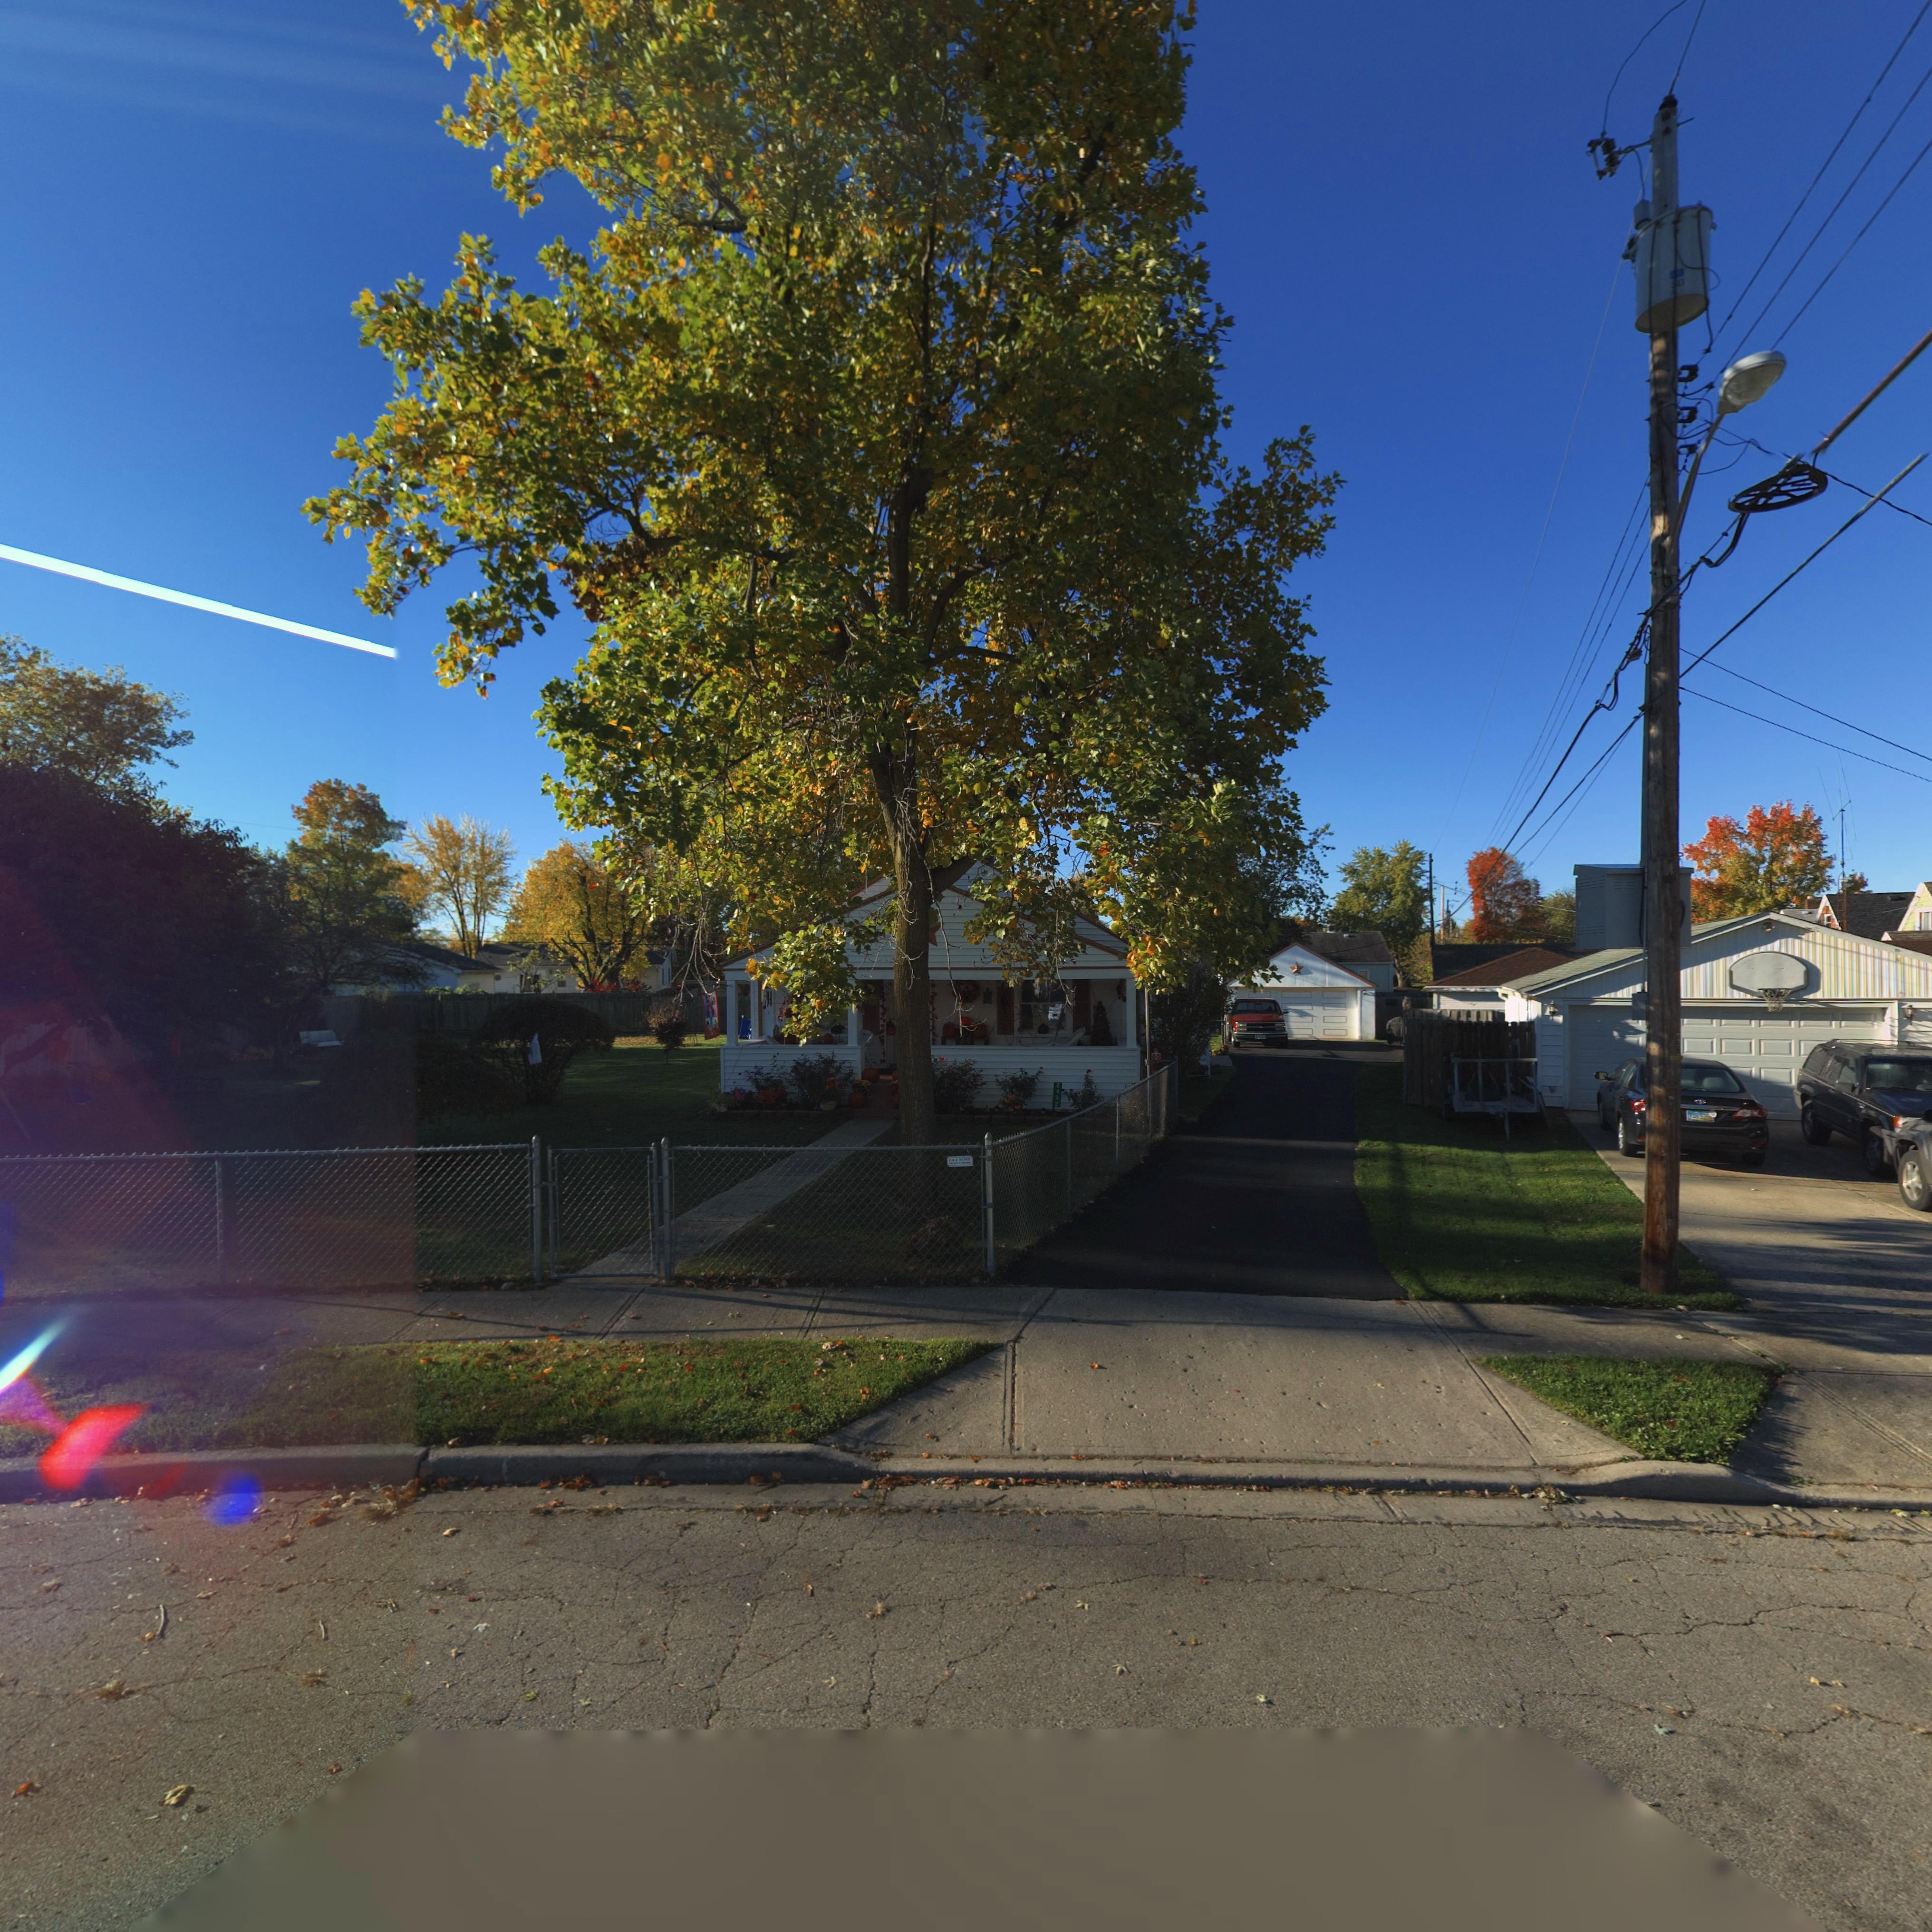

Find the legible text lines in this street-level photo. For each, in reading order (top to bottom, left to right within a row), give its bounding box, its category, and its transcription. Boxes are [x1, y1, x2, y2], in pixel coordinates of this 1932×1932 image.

[1053, 1082, 1061, 1107] StreetNumber: 2452